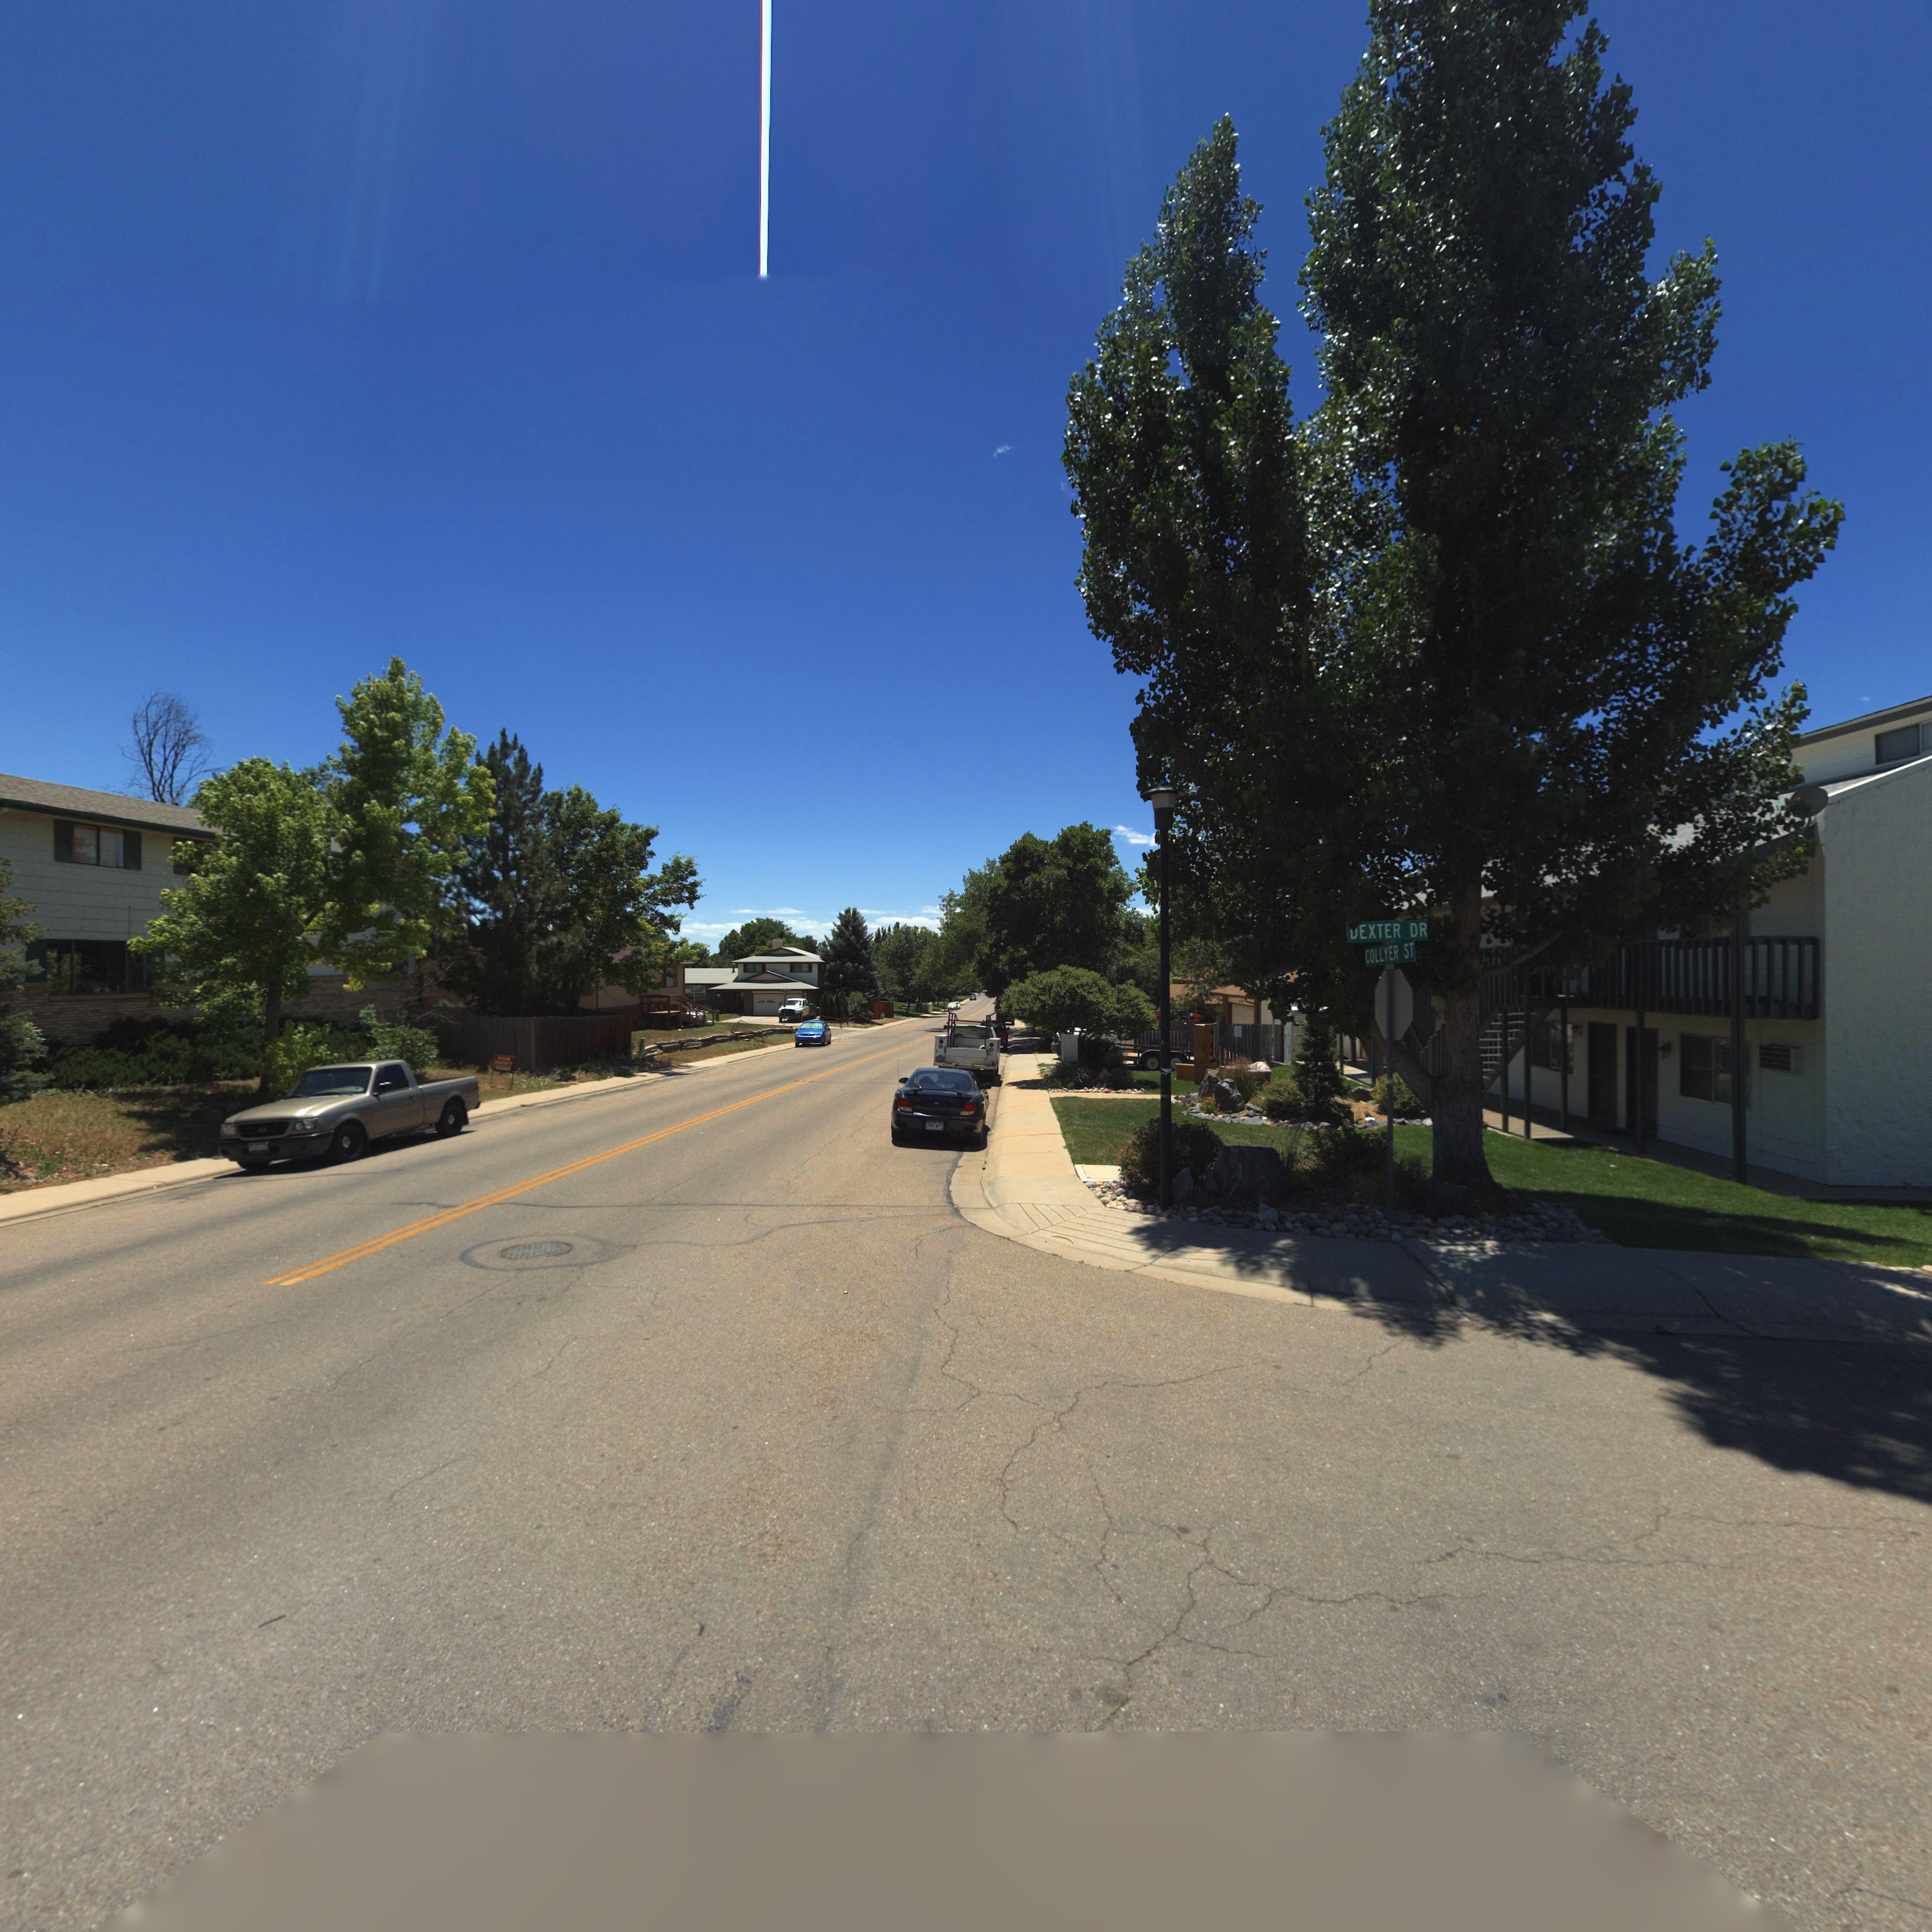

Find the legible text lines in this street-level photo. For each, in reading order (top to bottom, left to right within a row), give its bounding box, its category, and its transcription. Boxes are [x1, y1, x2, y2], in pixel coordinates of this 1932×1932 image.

[1349, 922, 1427, 940] StreetName: *EXTER DR
[1364, 942, 1413, 964] StreetName: COLLYER ST